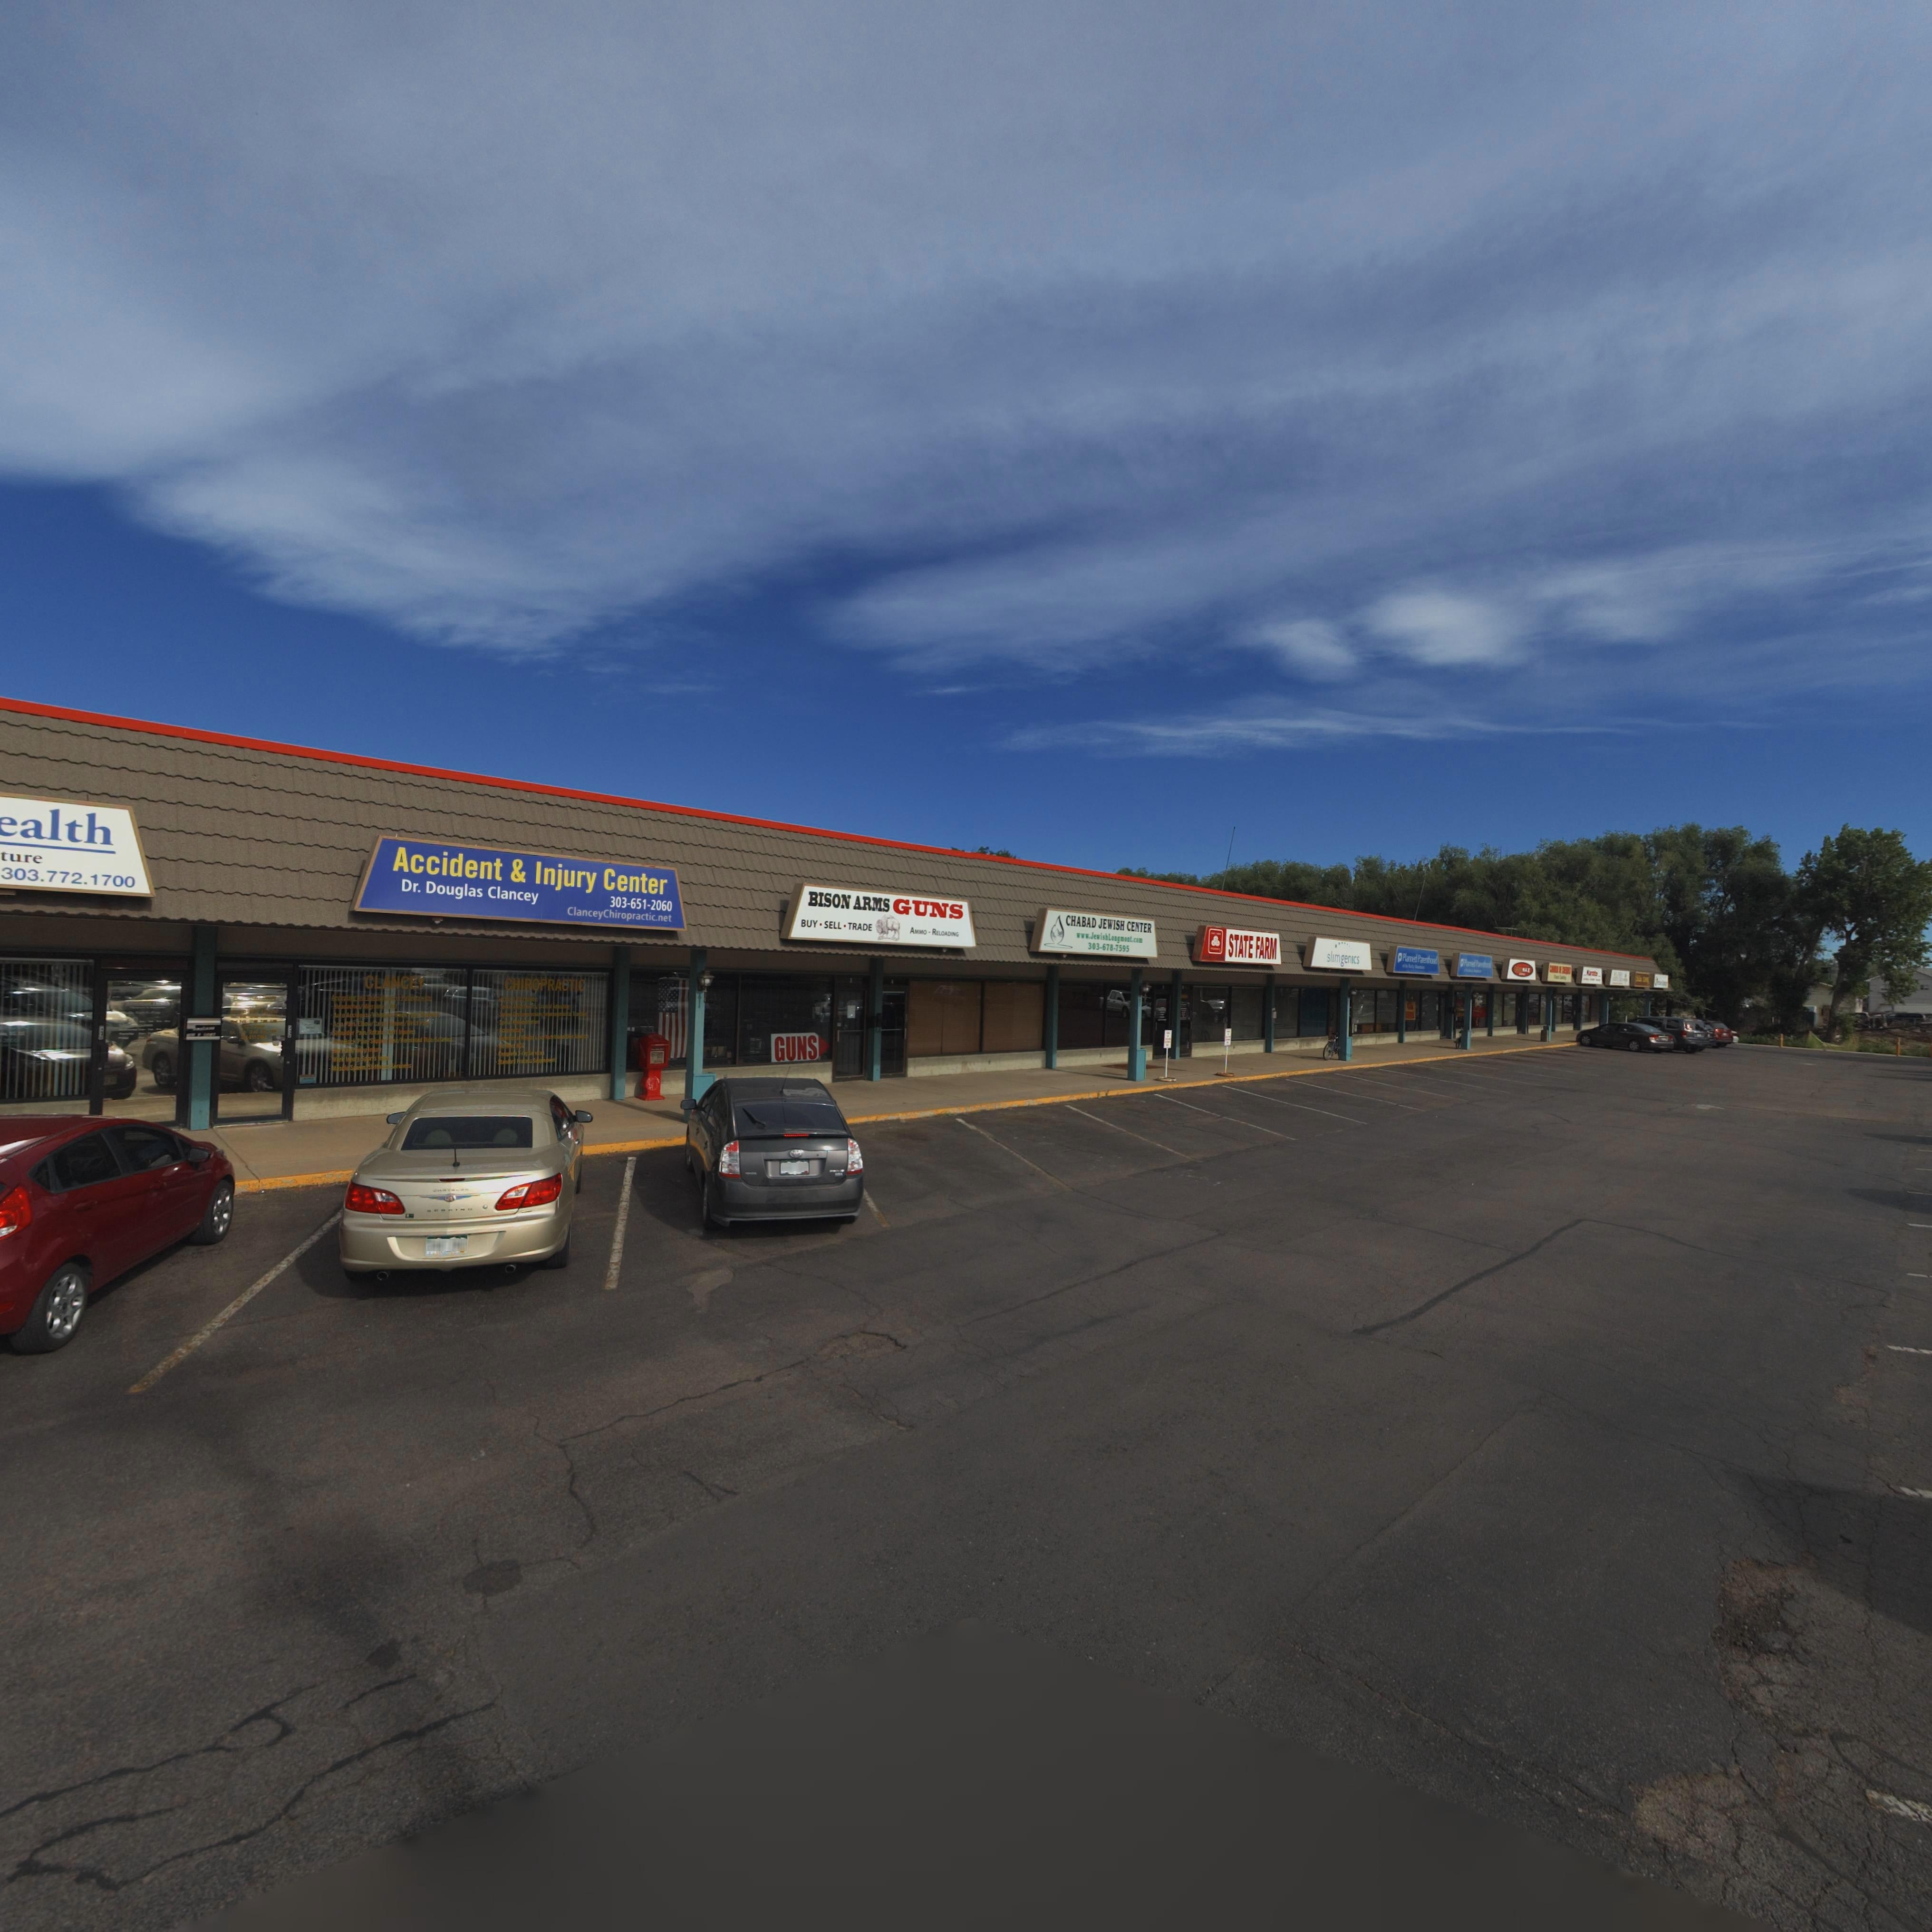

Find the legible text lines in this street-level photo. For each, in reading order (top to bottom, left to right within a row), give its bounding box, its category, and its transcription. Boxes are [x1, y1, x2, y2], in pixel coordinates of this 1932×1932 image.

[18, 808, 114, 847] BusinessName: alth
[391, 845, 669, 897] BusinessName: Accident & Injury Center
[807, 890, 964, 919] BusinessName: BISON ARMS GUNS
[1065, 914, 1152, 933] BusinessName: CHABAD JEWISH CENTER
[1227, 932, 1277, 960] BusinessName: STATE FARM
[1325, 949, 1360, 967] BusinessName: slimgenics
[1402, 952, 1438, 965] BusinessName: Plamm*d Pa*****ood